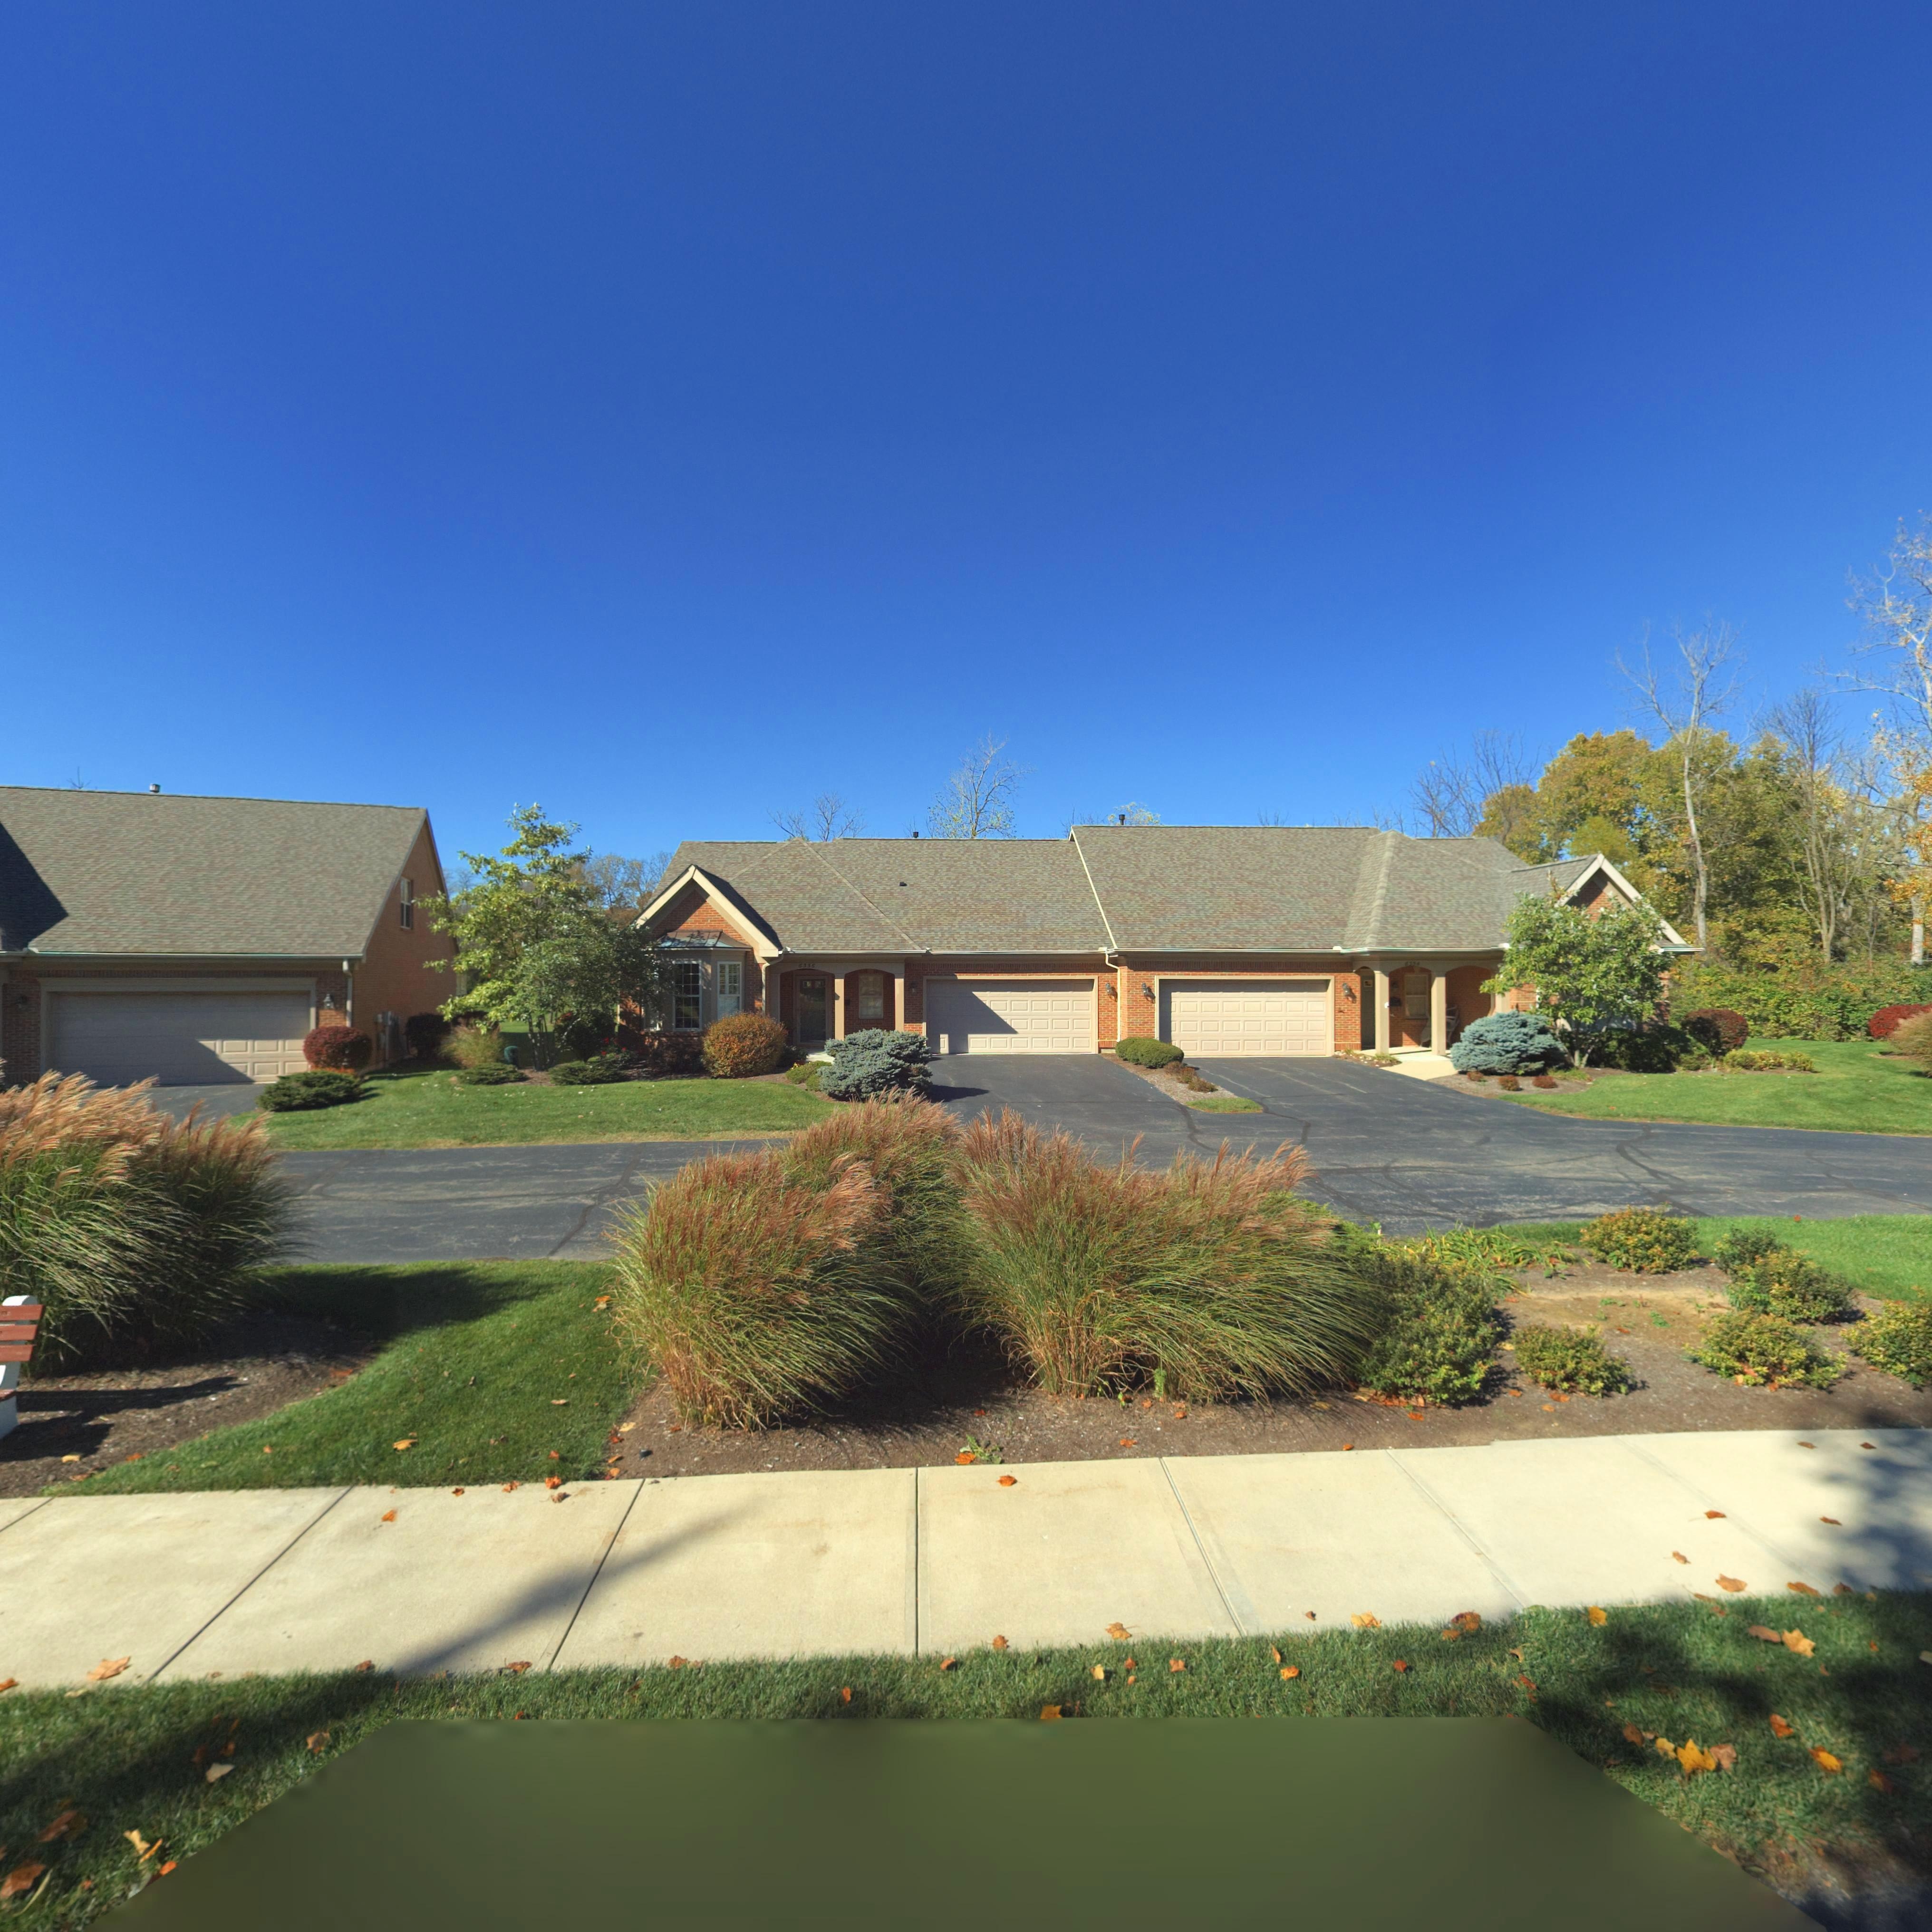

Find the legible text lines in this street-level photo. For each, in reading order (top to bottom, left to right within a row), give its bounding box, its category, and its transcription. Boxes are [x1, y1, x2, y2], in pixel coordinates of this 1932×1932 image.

[798, 963, 816, 969] StreetNumber: 6**6